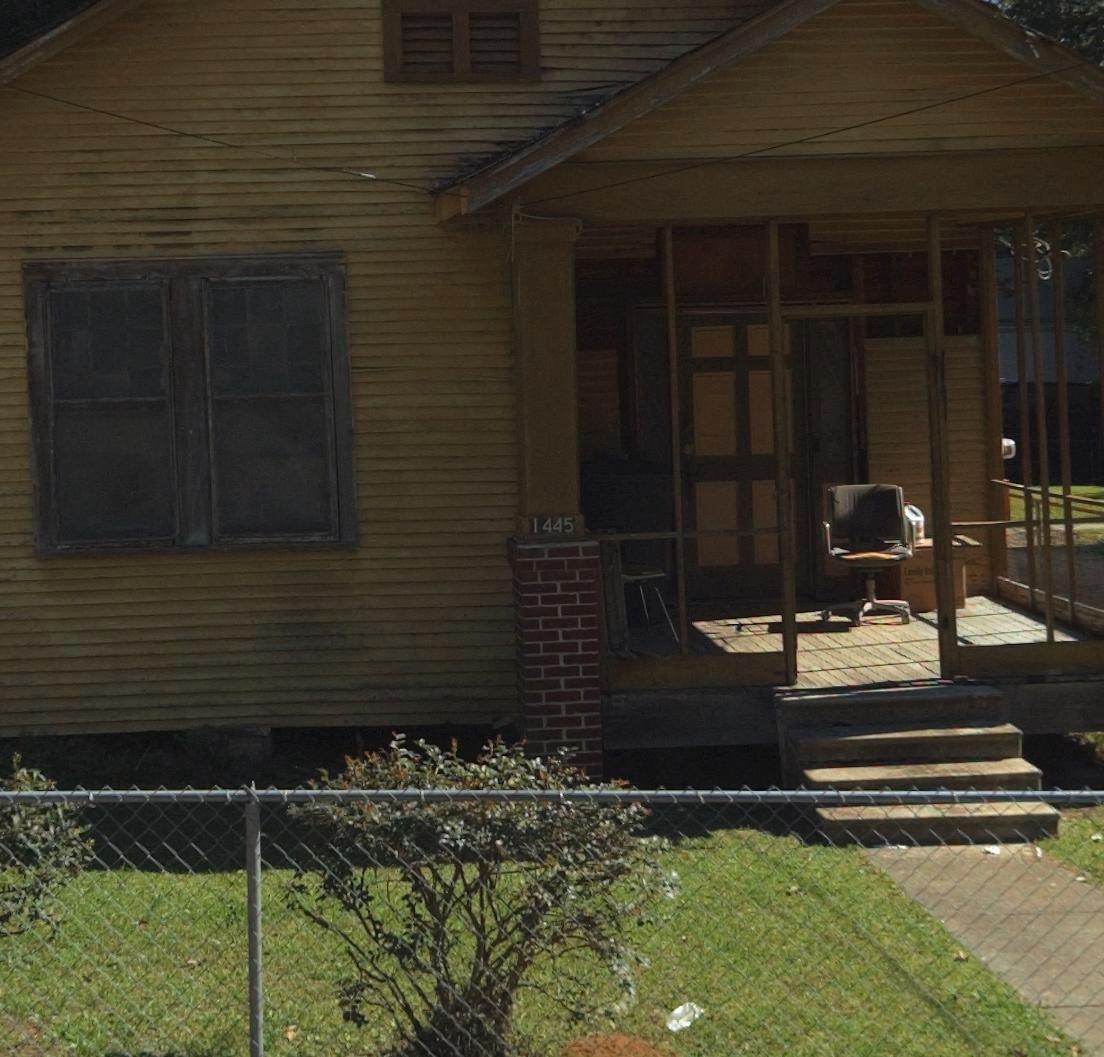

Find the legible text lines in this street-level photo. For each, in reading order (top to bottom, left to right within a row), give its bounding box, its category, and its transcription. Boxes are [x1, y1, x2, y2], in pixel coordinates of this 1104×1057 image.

[532, 515, 575, 535] StreetNumber: 1445